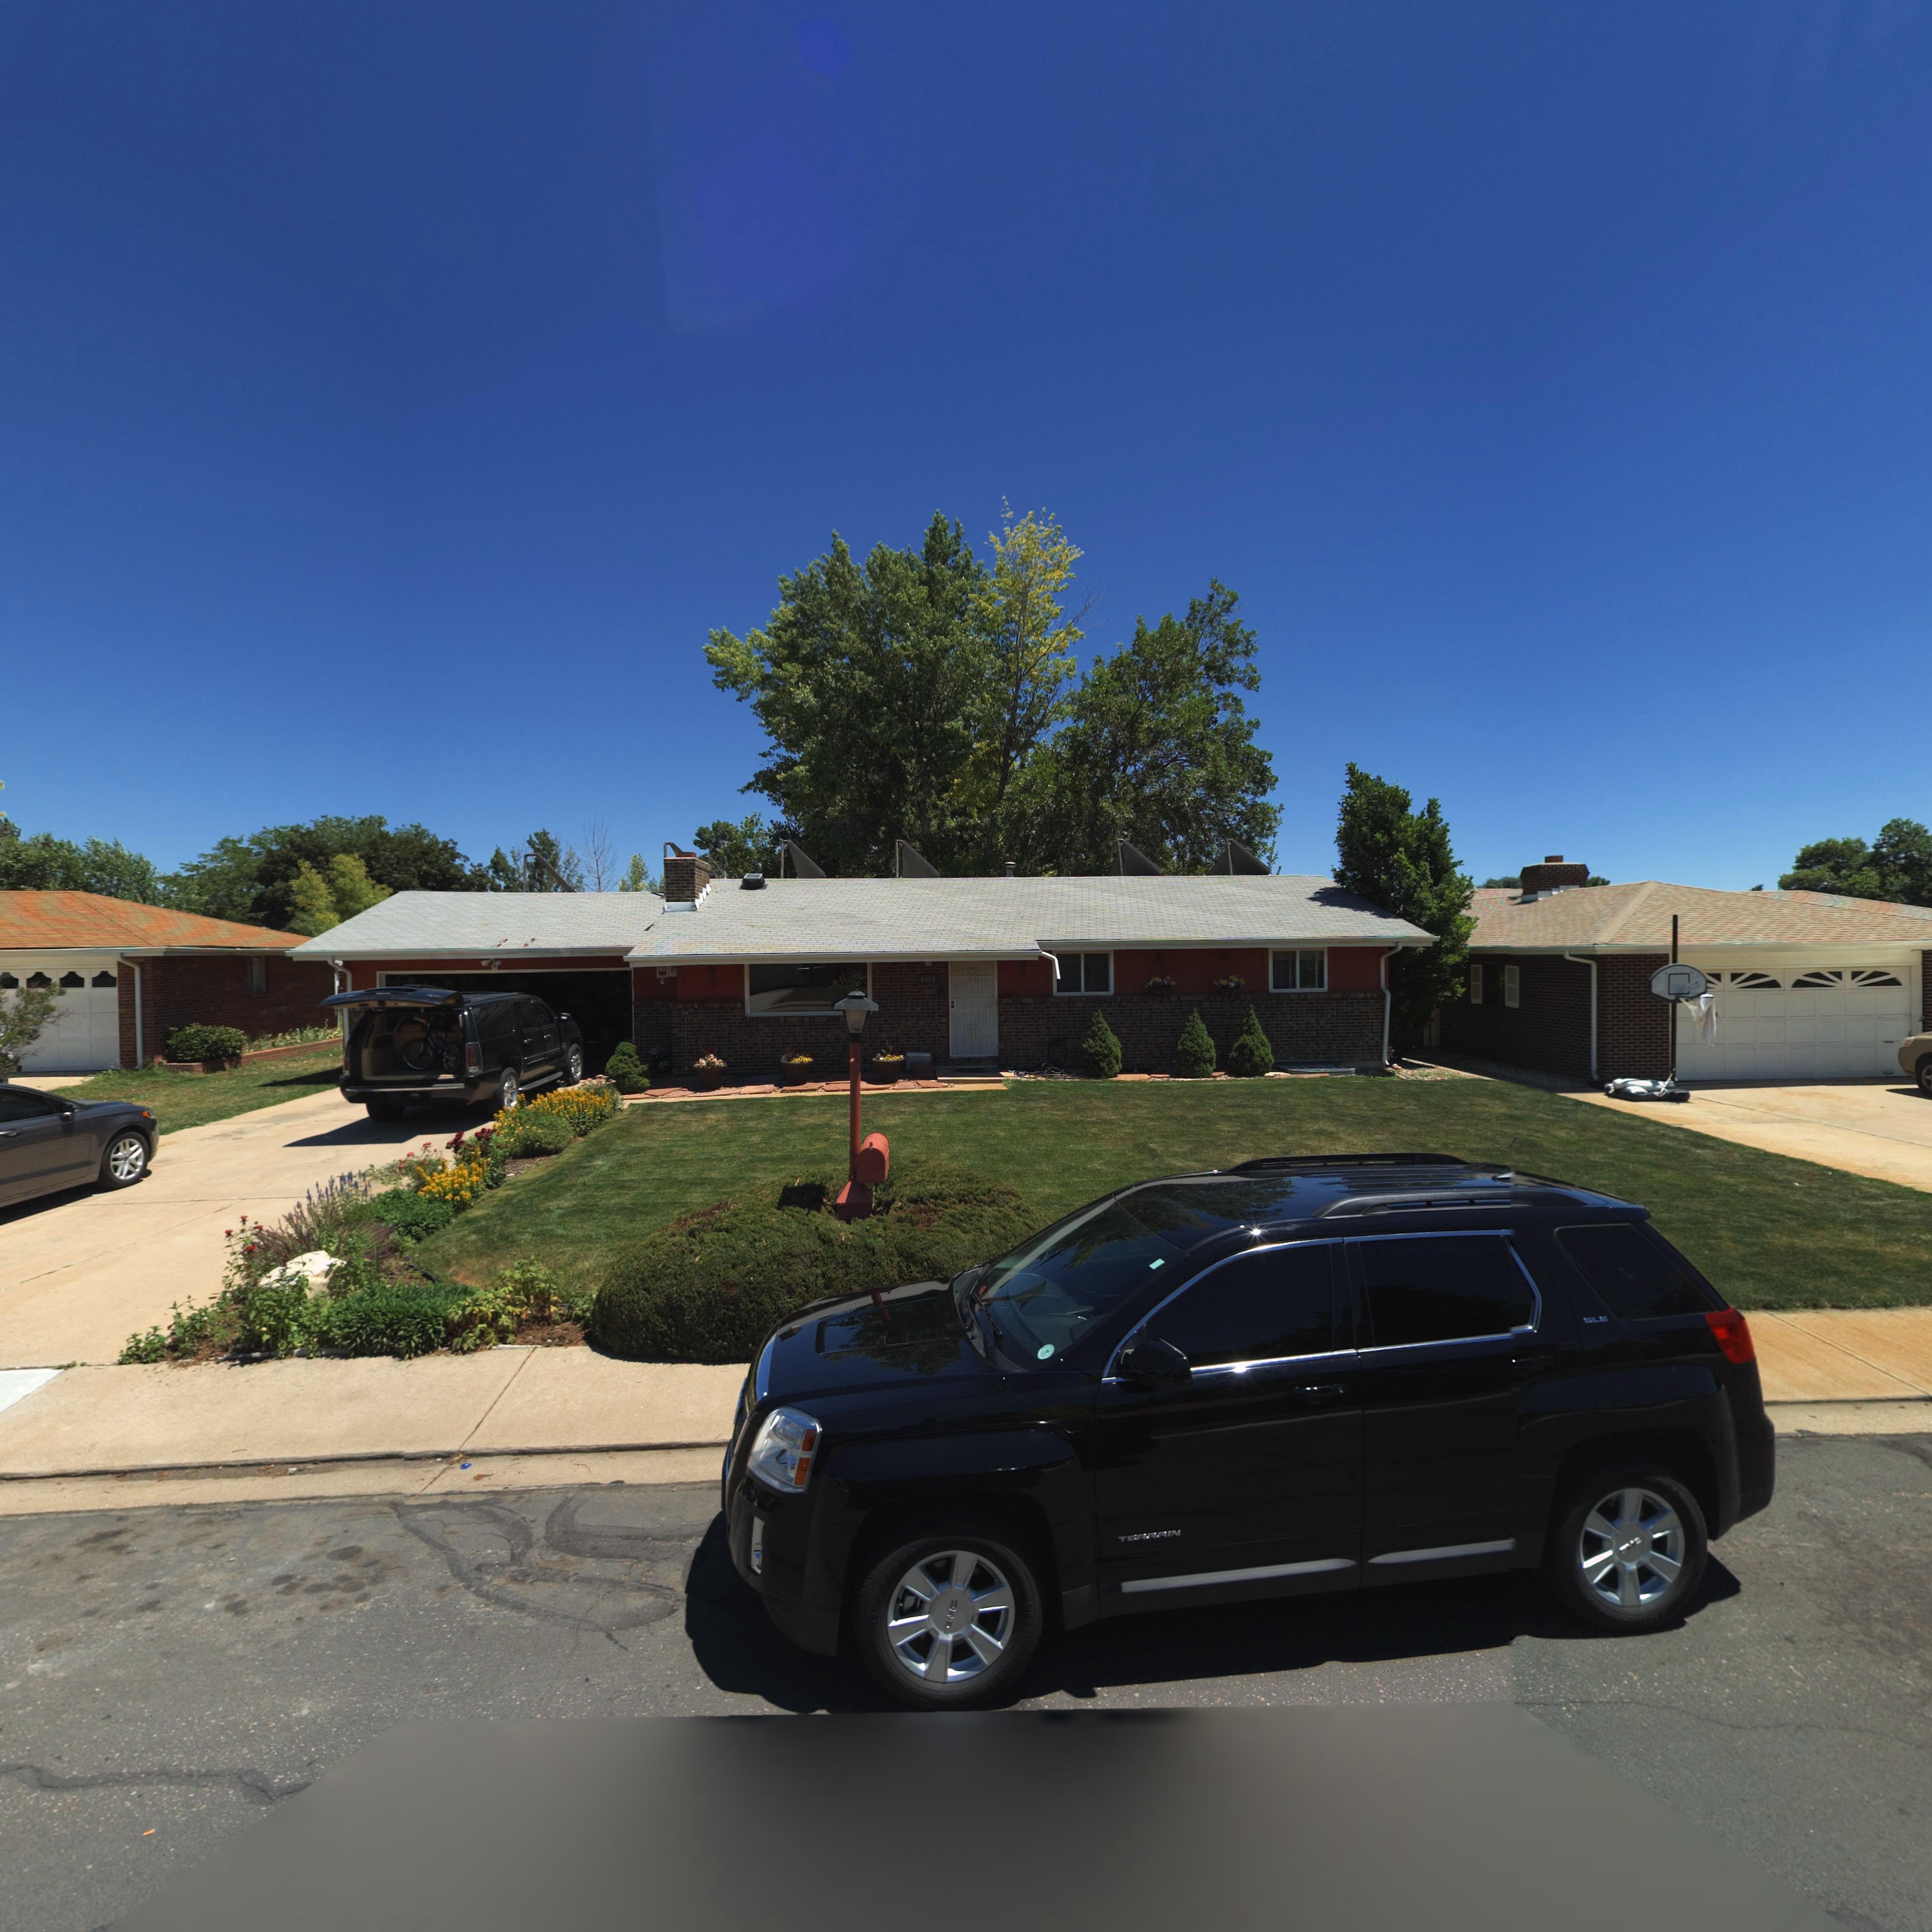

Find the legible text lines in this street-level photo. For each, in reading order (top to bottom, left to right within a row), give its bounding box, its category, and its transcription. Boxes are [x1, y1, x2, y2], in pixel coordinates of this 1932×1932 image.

[921, 976, 934, 982] StreetNumber: 2412